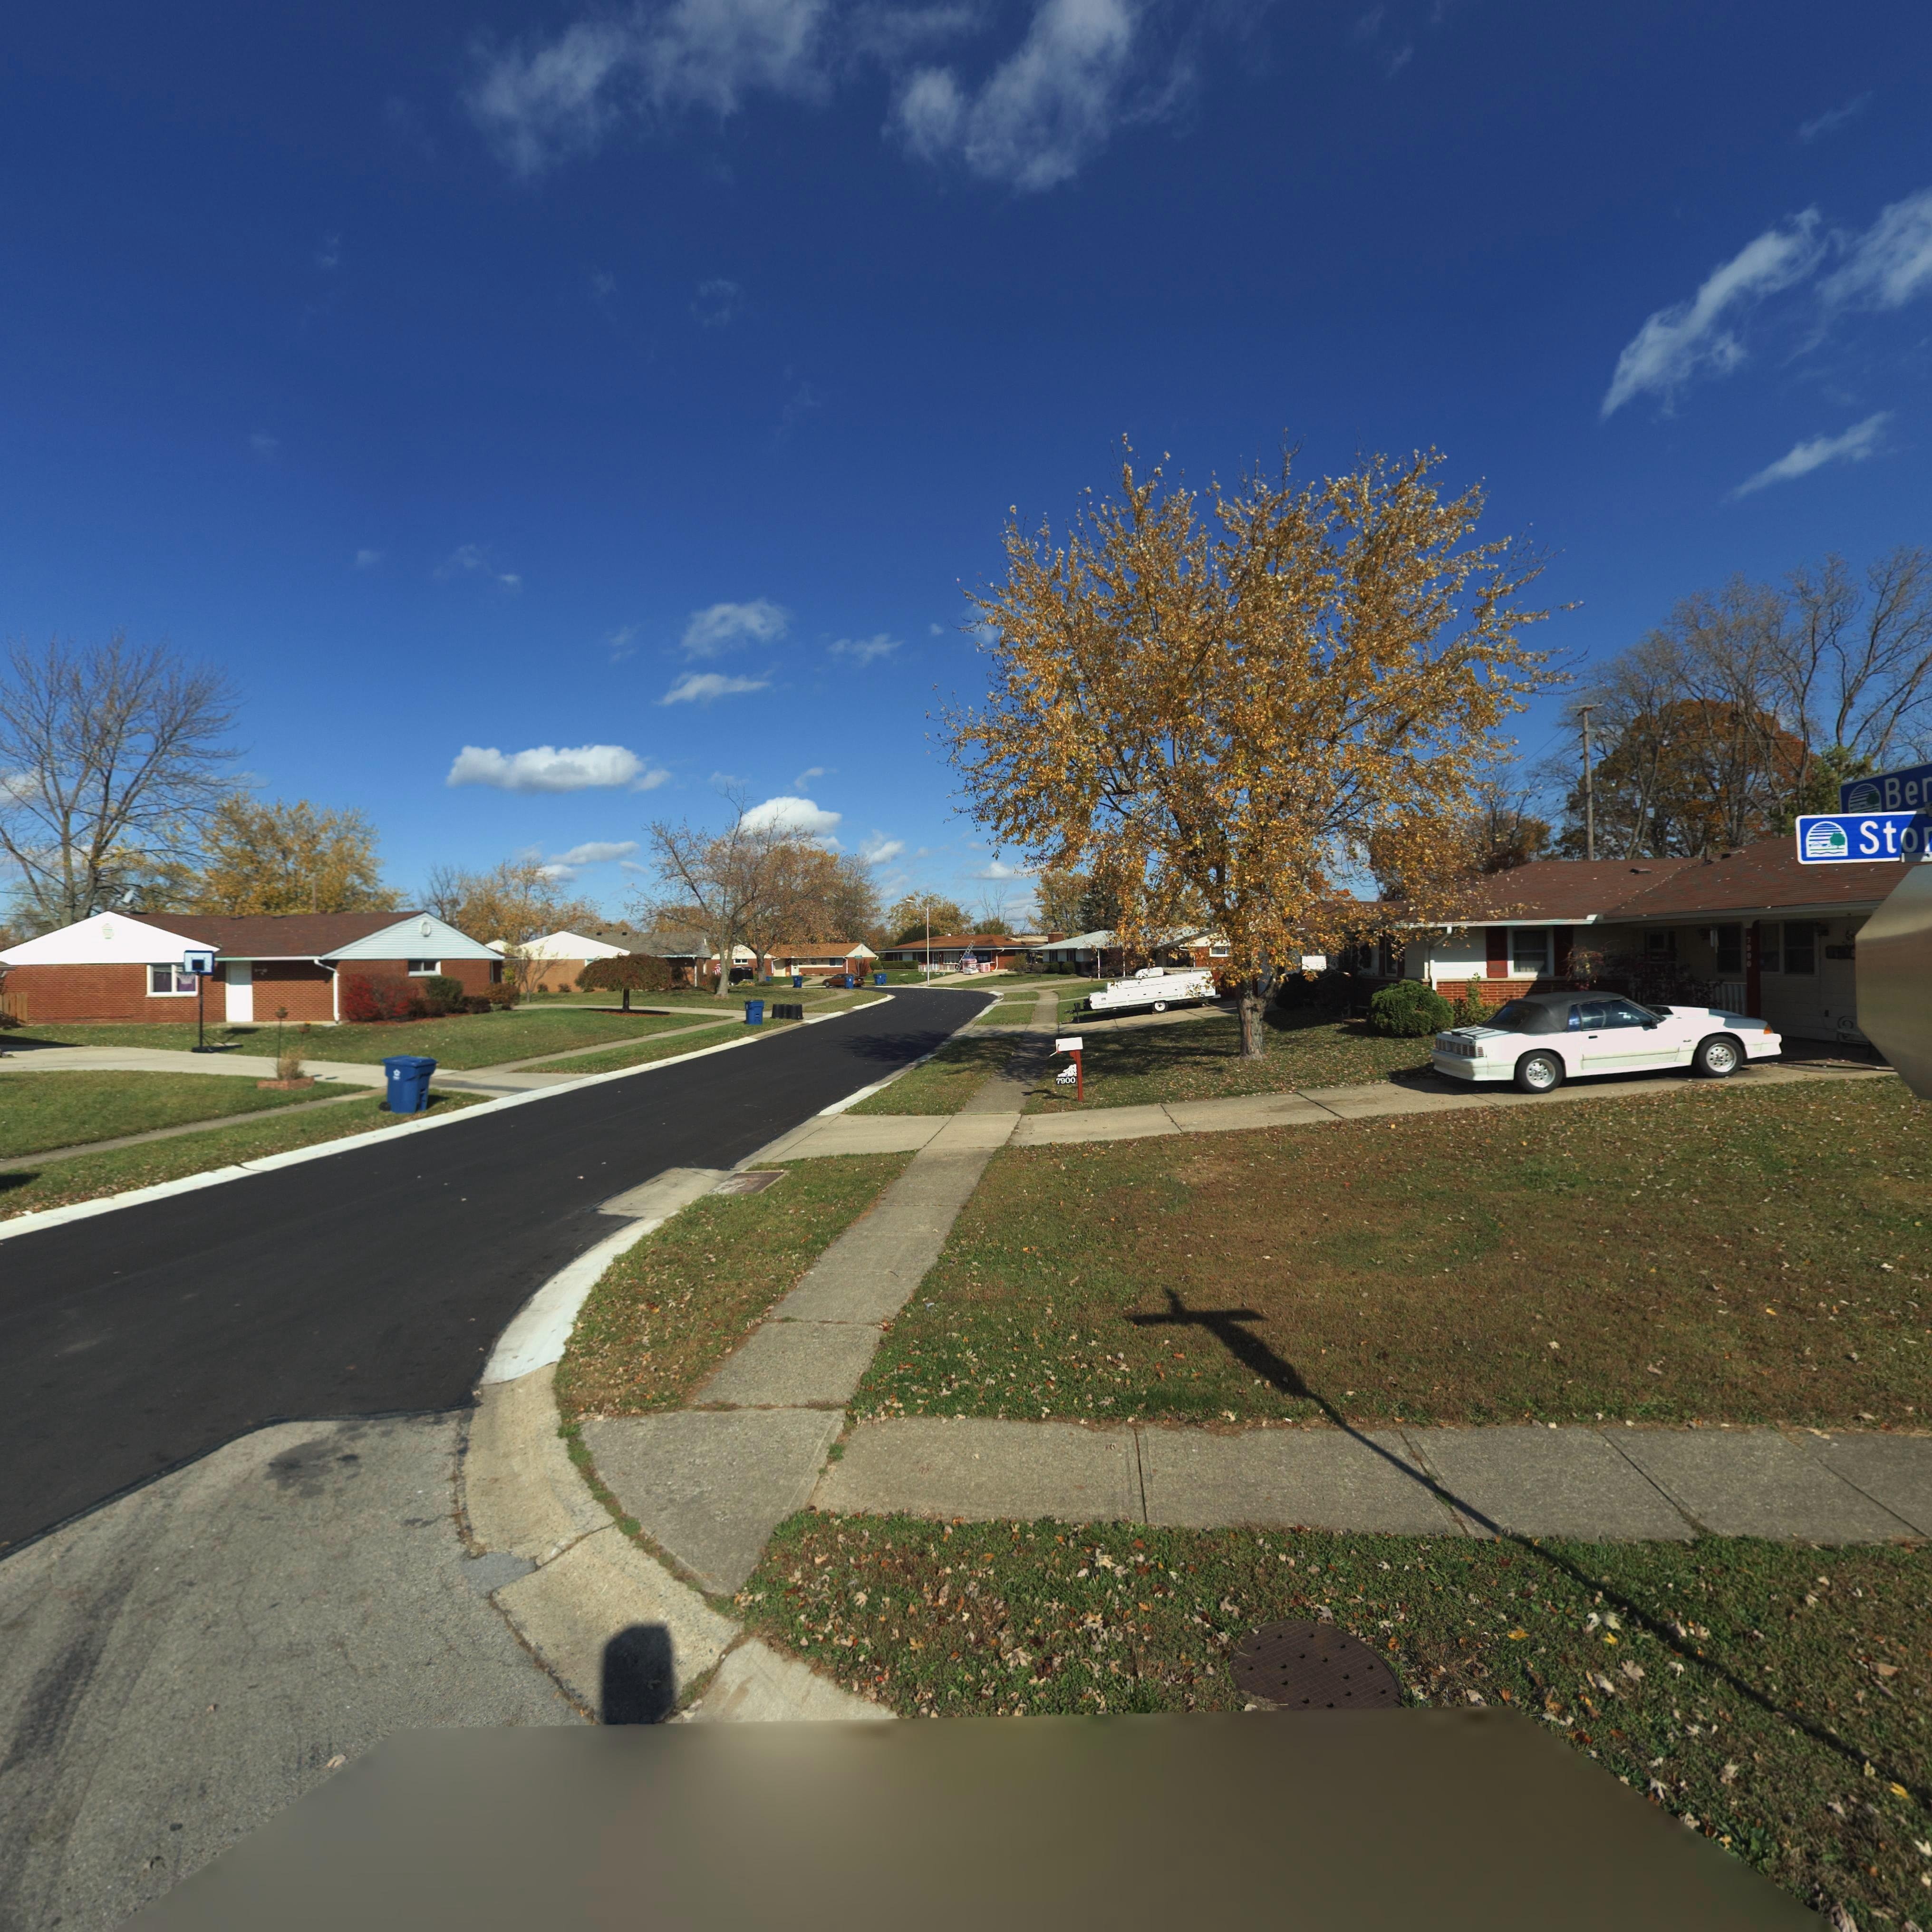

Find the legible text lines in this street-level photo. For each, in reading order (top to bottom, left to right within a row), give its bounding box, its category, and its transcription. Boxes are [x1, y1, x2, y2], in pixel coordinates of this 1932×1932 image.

[1746, 937, 1752, 968] StreetNumber: 7900
[1055, 1076, 1076, 1084] StreetNumber: 7900